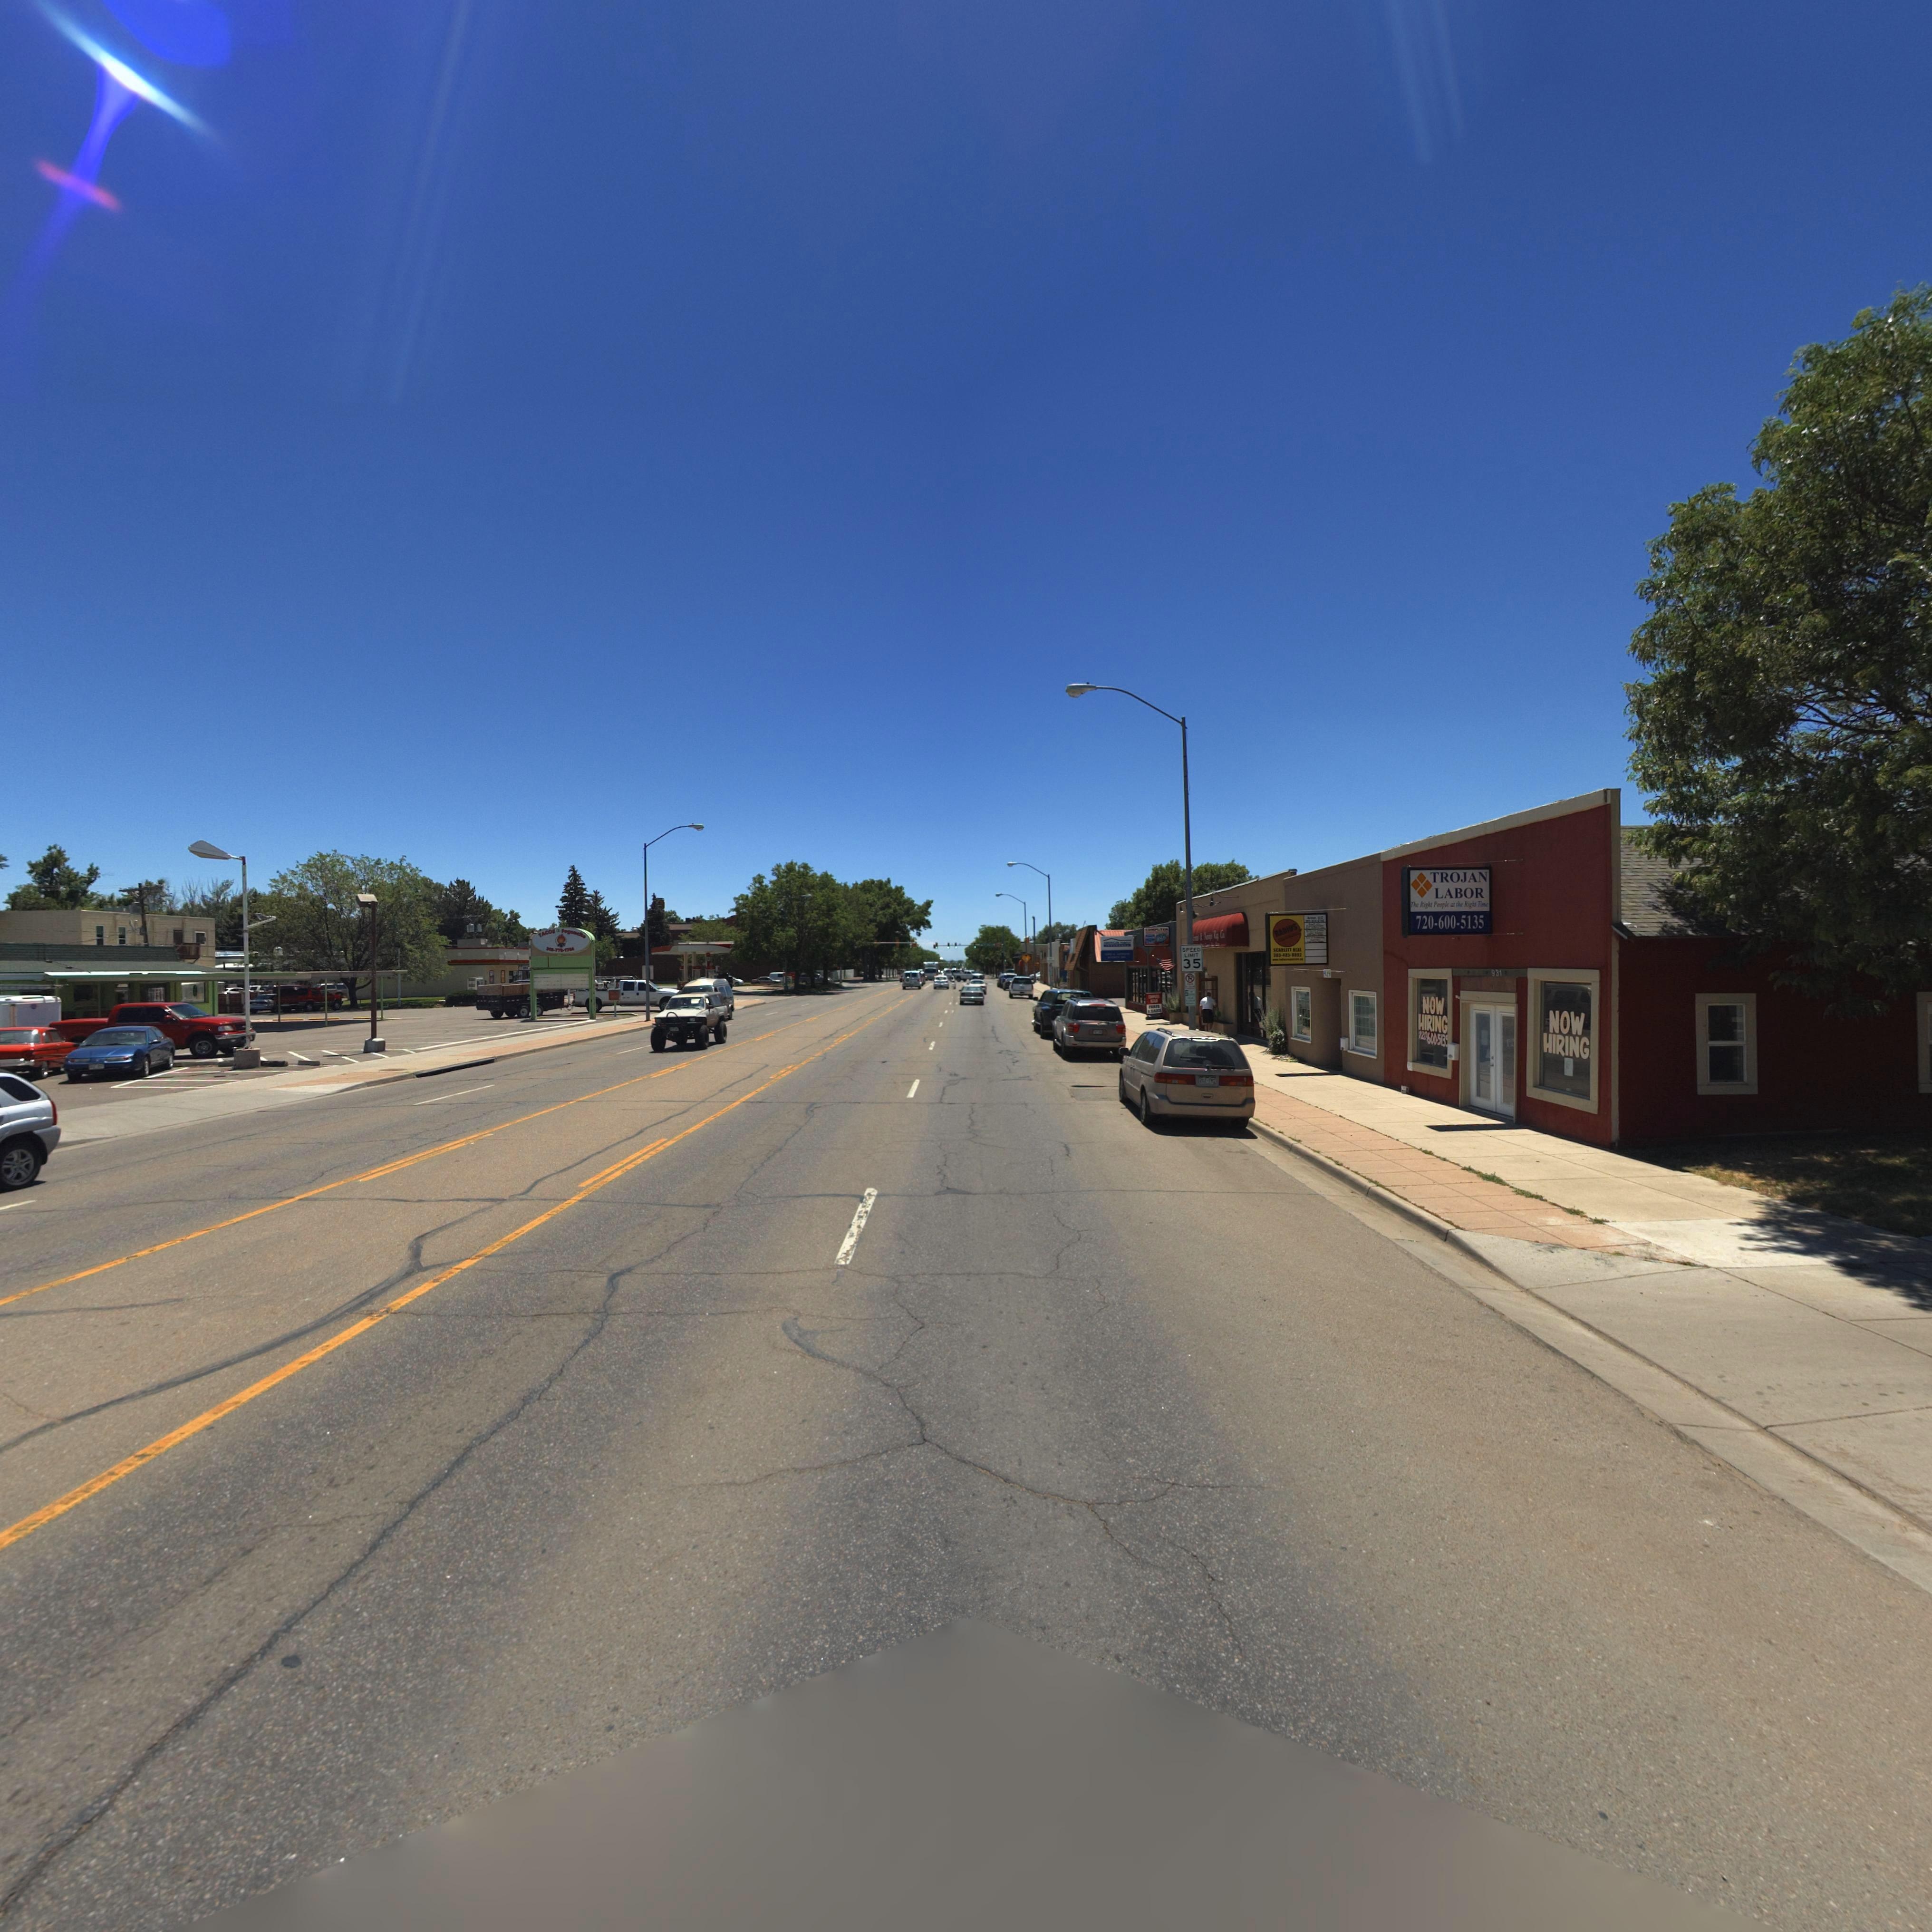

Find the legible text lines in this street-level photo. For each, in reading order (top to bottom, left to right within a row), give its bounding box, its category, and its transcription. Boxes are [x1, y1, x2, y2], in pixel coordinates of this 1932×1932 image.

[1430, 871, 1488, 883] BusinessName: TROJAN
[1434, 887, 1485, 899] BusinessName: LABOR
[1307, 916, 1323, 919] BusinessName: A***** *L*
[538, 928, 585, 938] BusinessName: TACOS EL *ogo****o
[1145, 928, 1168, 931] BusinessName: CO******
[1192, 929, 1225, 941] BusinessName: ***** * N***jo **g Co.
[1274, 923, 1298, 937] BusinessName: RADIUS
[1323, 970, 1331, 977] StreetNumber: 91*
[1491, 969, 1502, 976] StreetNumber: 931